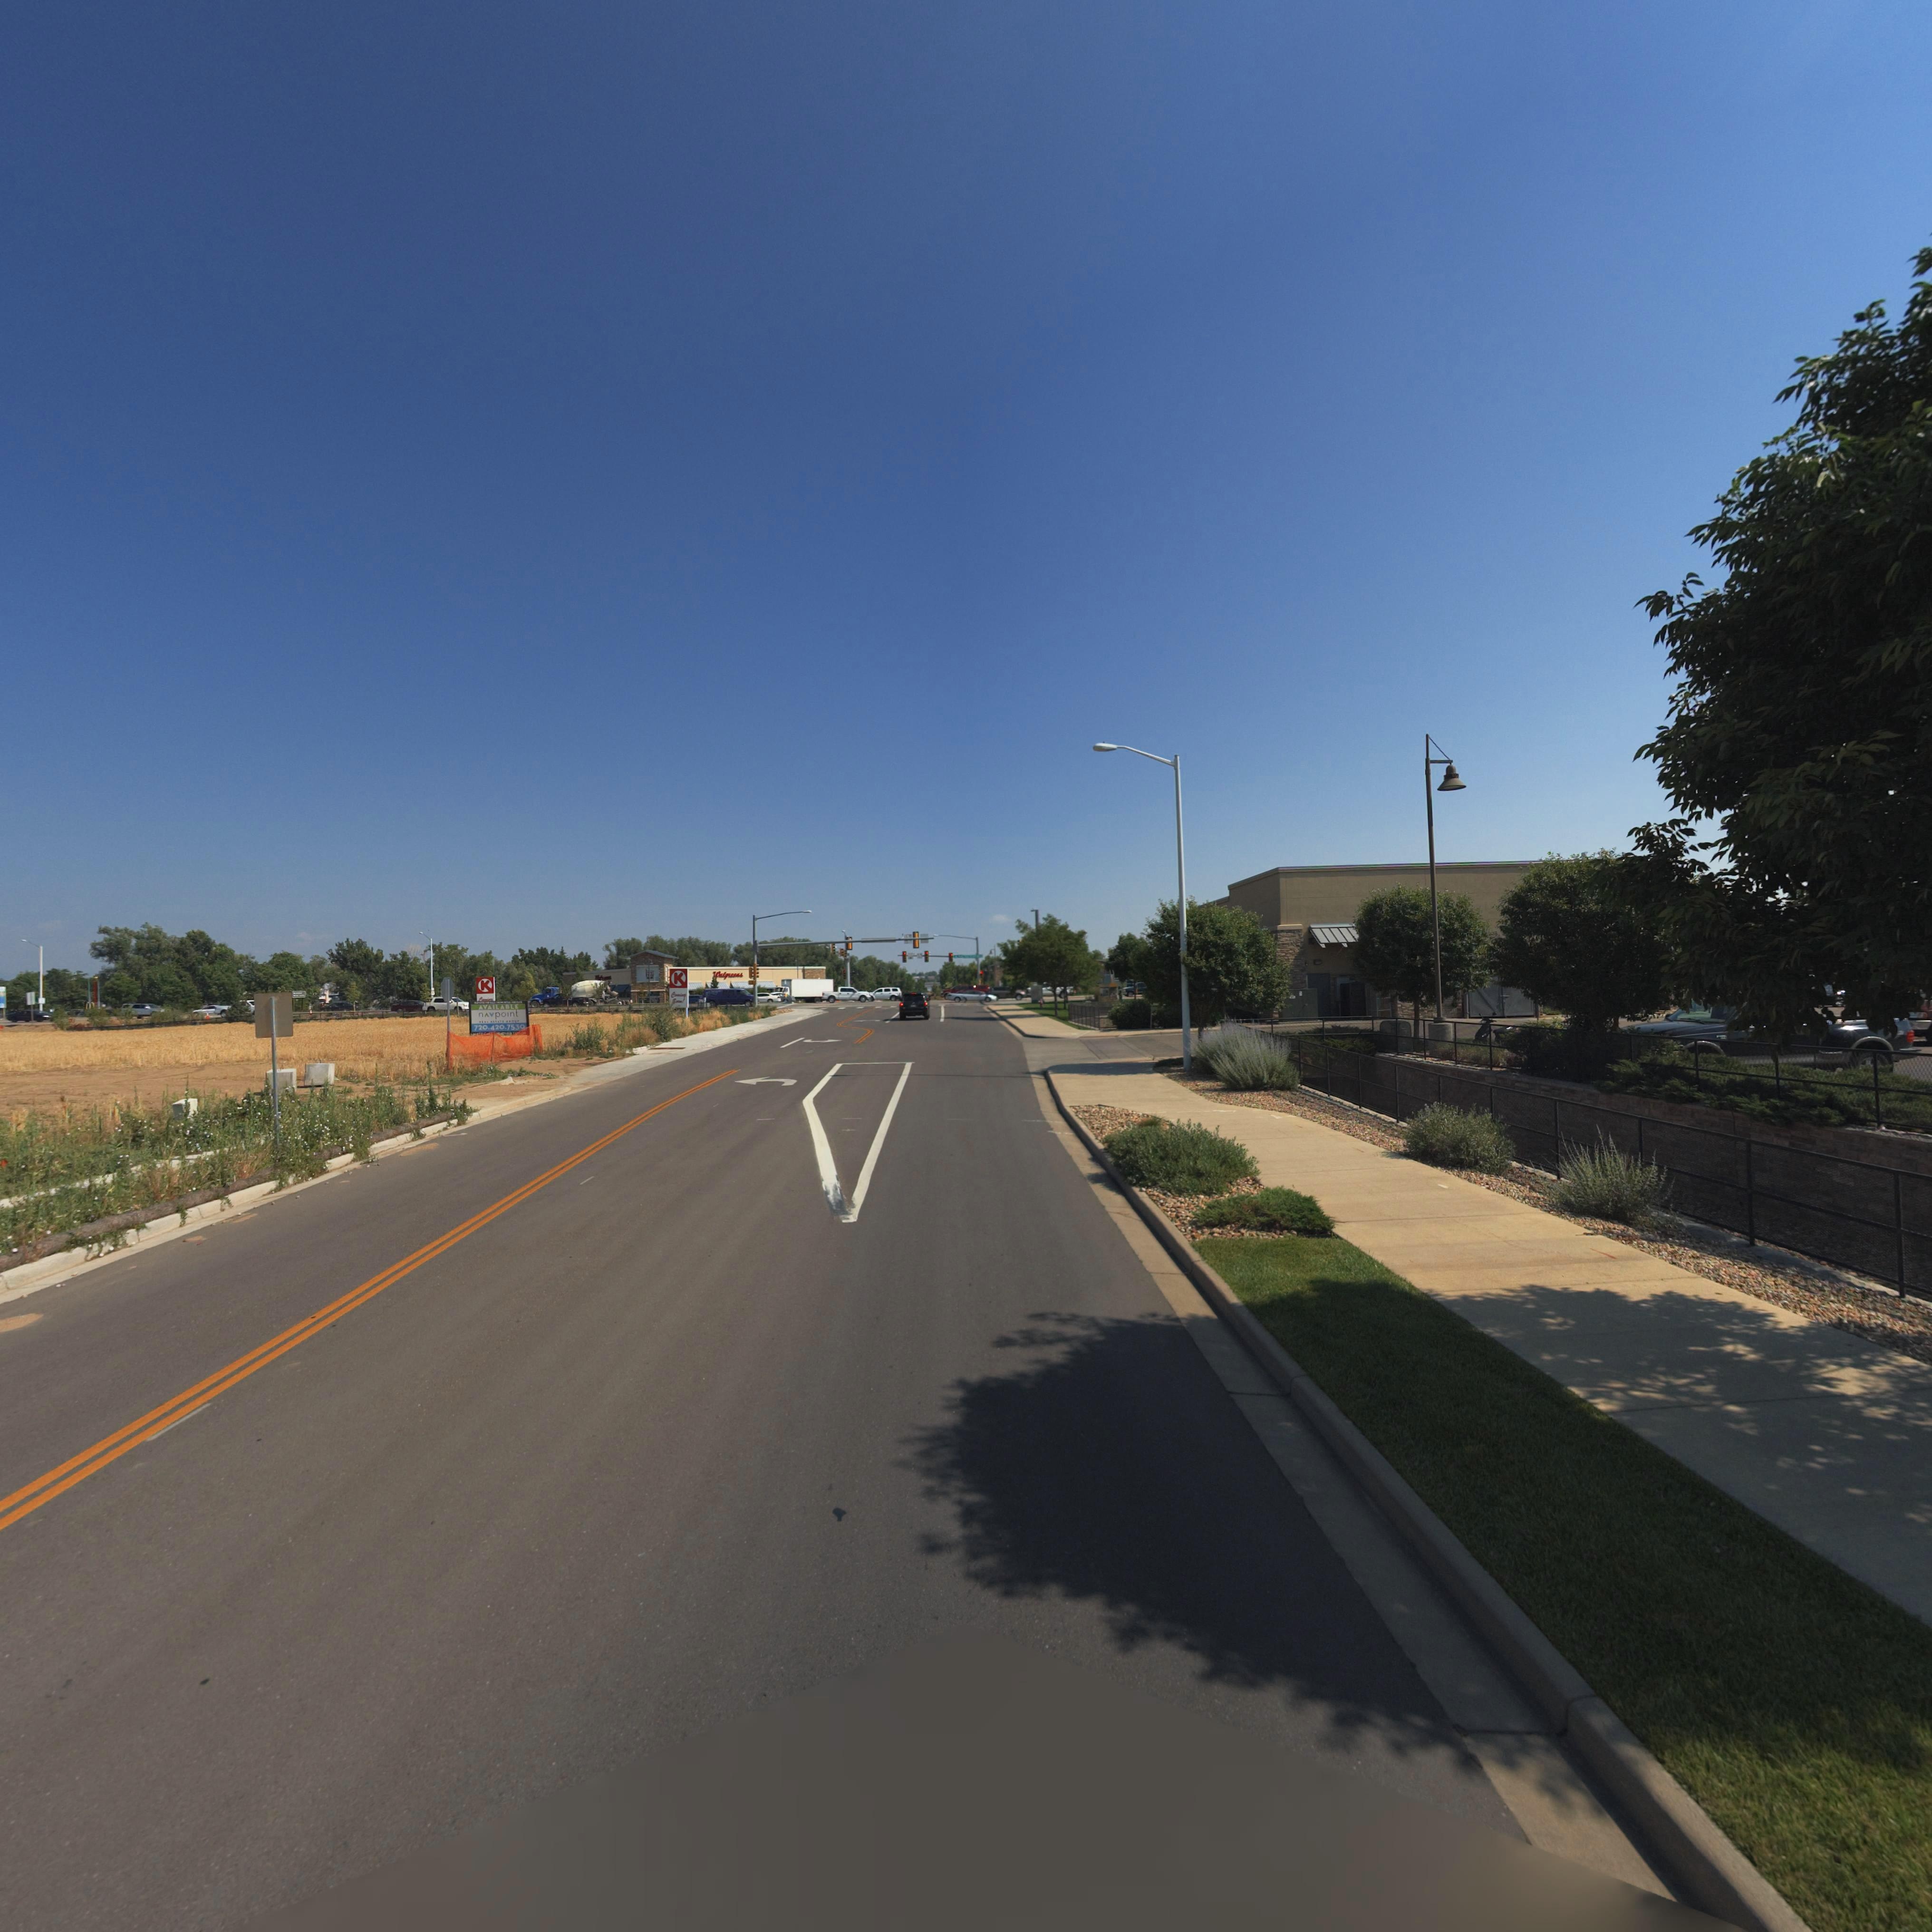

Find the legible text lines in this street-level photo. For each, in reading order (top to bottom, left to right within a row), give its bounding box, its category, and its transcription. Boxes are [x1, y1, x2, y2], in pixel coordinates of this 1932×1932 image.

[713, 971, 743, 979] BusinessName: Walgreens